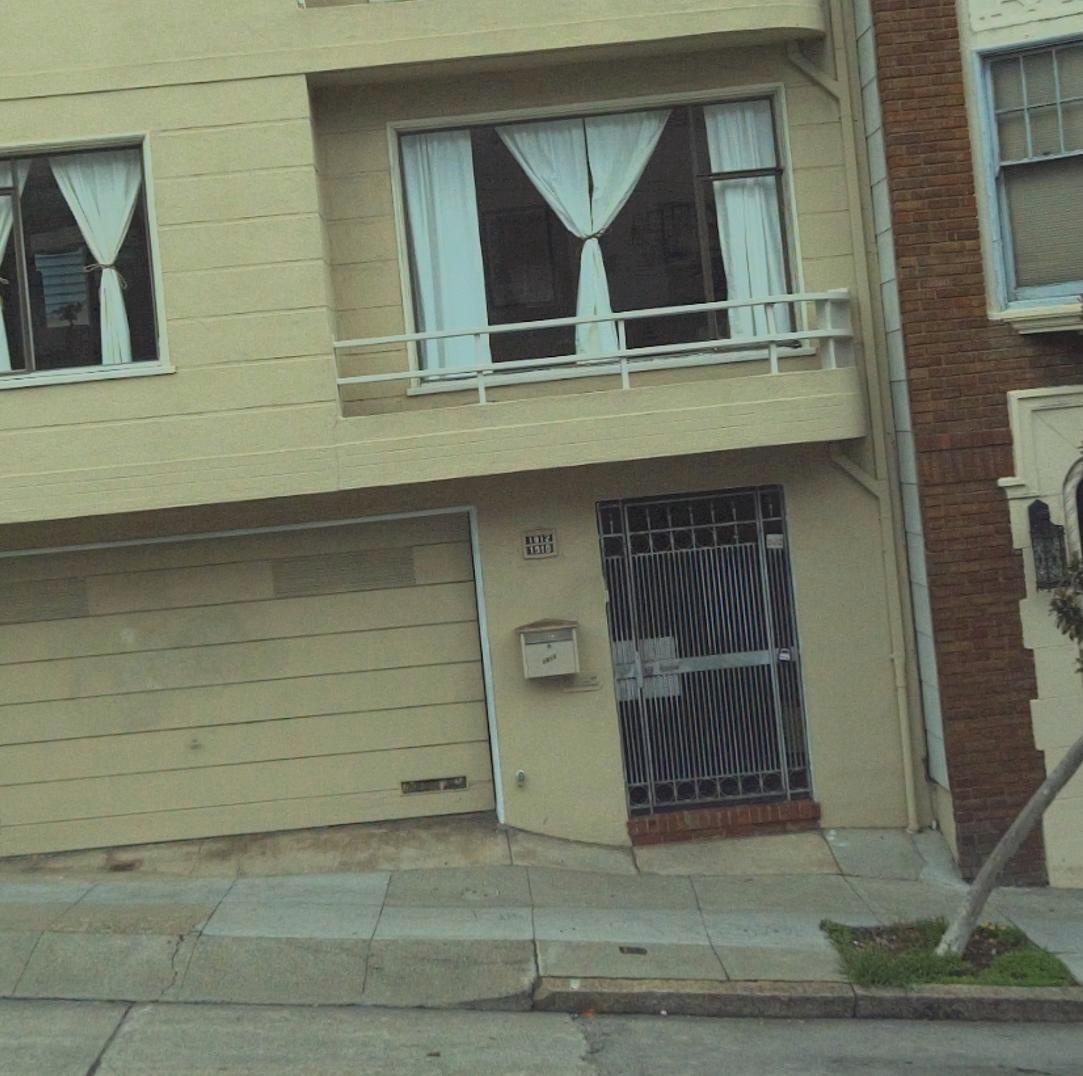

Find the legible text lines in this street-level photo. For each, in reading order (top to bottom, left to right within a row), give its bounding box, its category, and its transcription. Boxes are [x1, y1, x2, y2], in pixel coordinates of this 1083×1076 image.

[528, 532, 551, 544] StreetNumber: 1912
[529, 543, 552, 556] StreetNumber: 1910